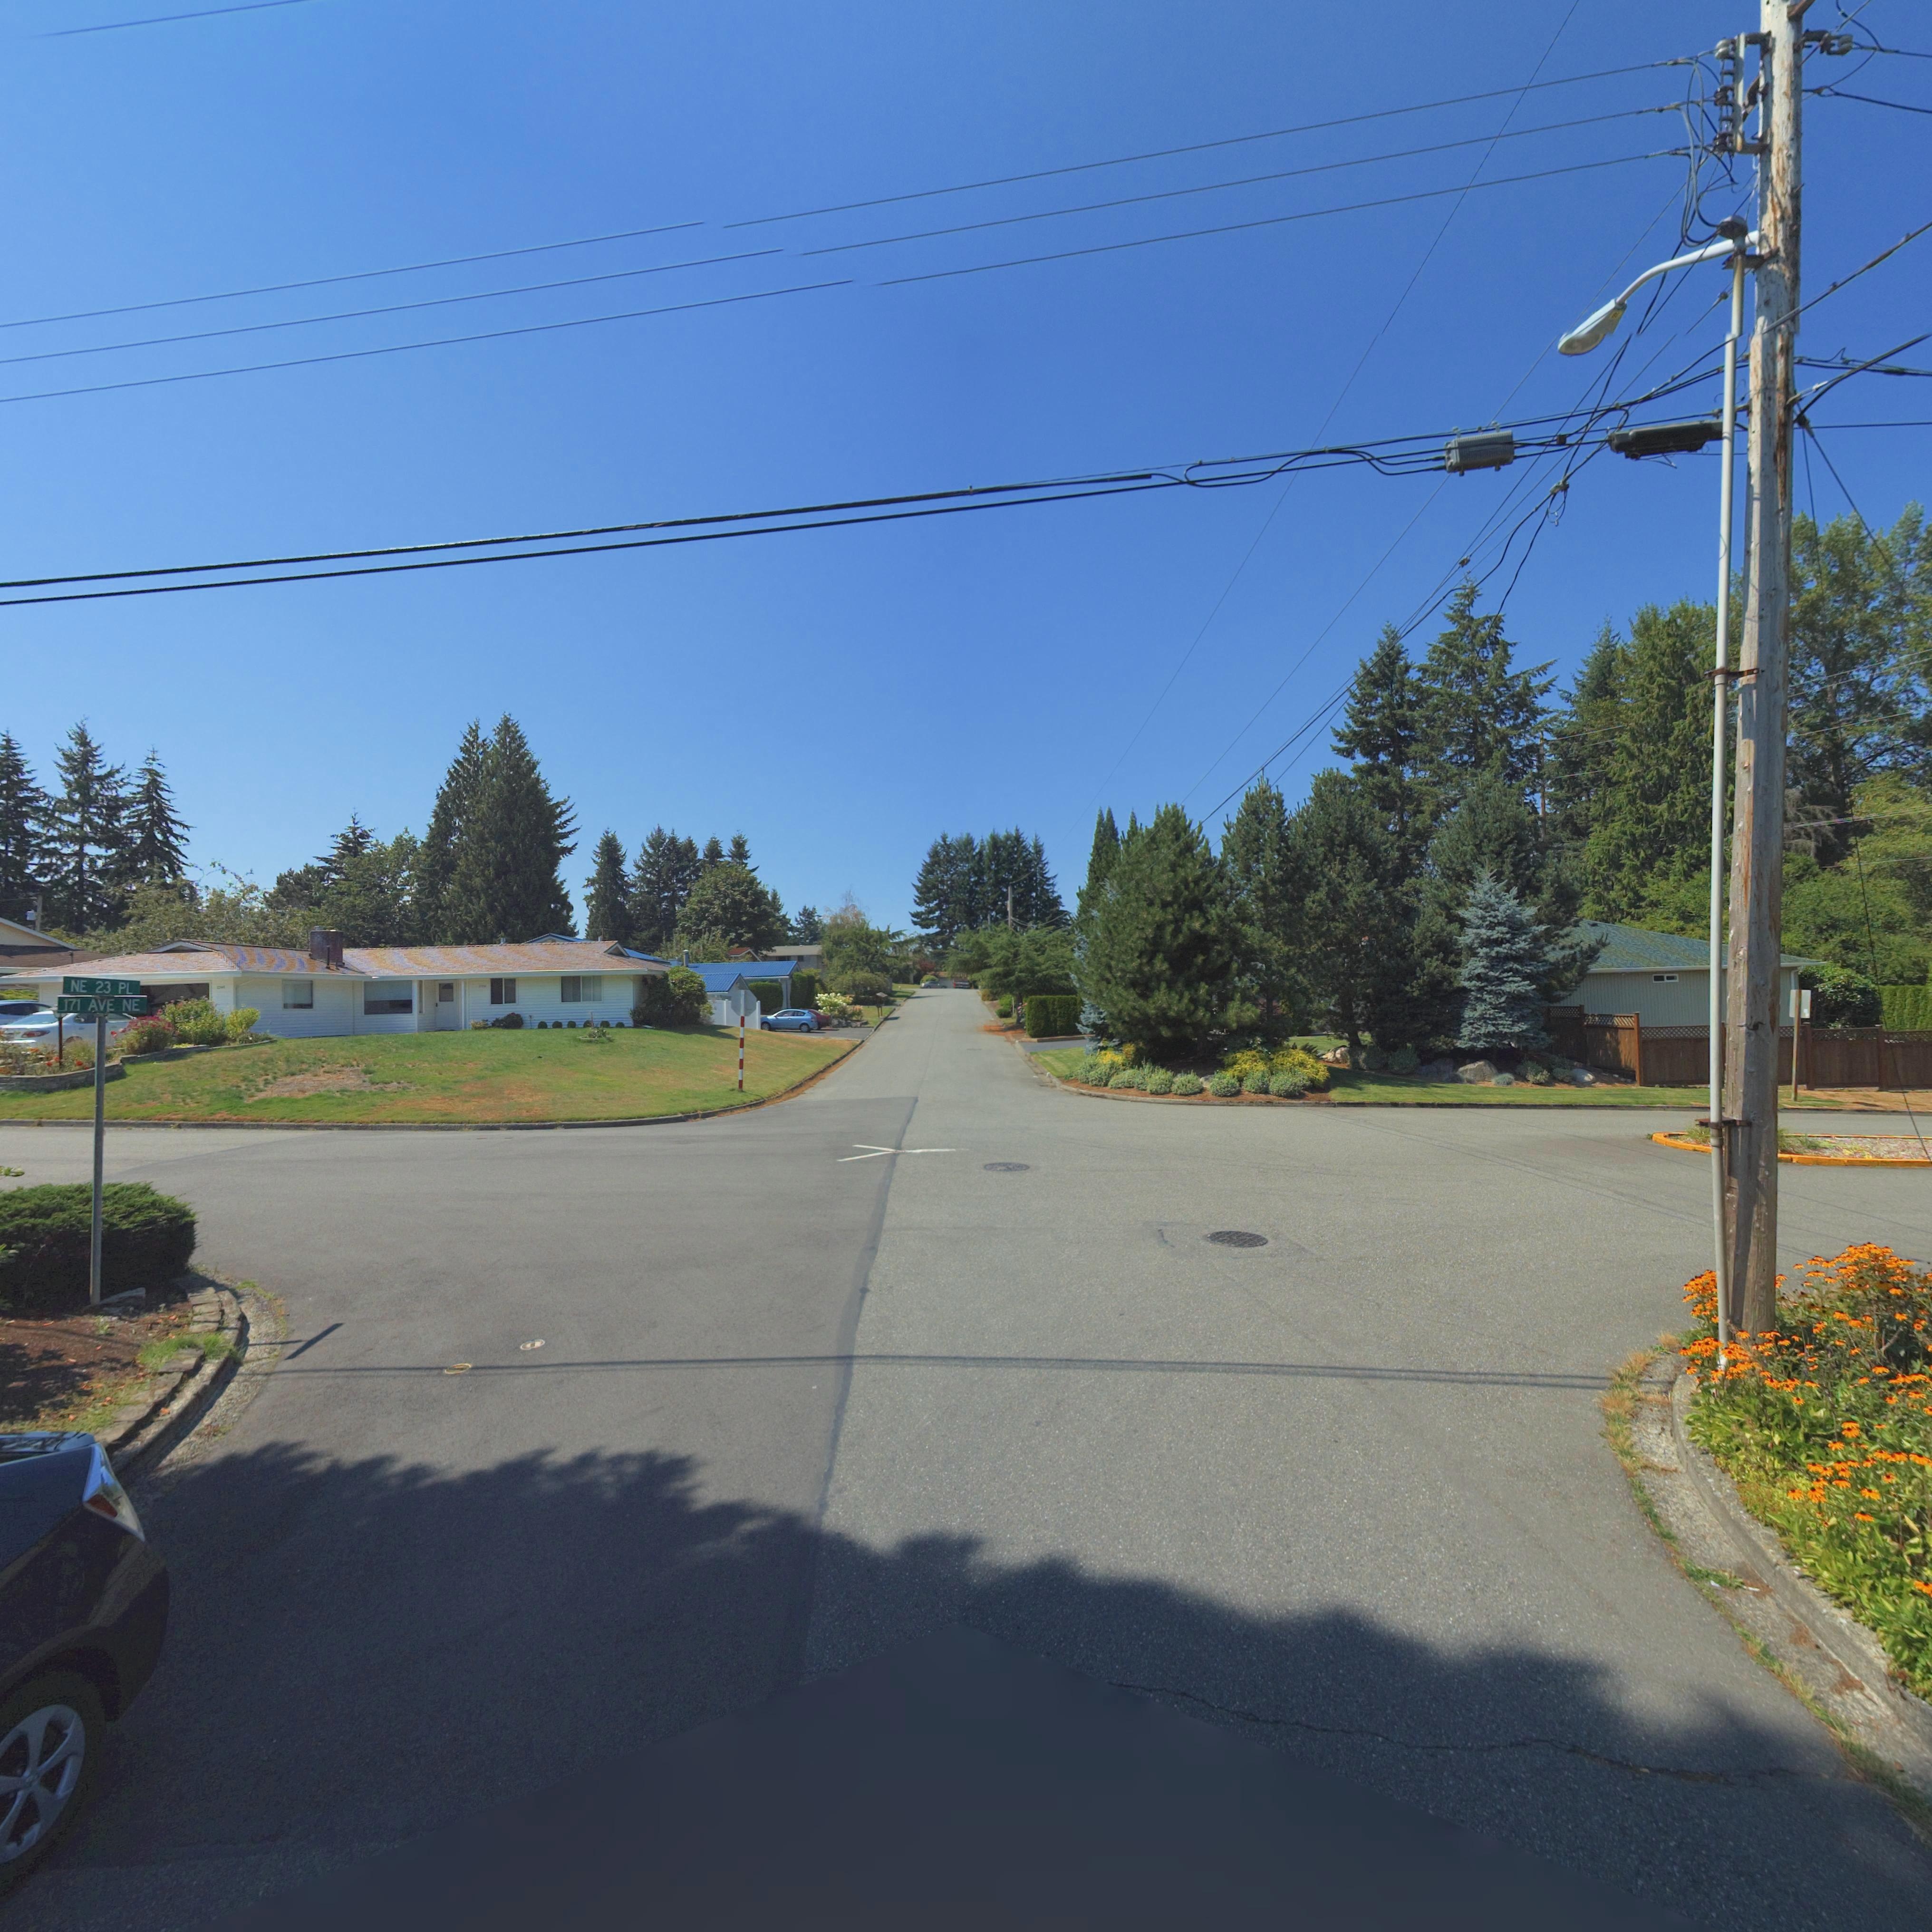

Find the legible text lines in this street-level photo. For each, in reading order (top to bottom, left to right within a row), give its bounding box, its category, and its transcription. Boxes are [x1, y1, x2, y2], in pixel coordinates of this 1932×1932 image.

[69, 978, 134, 995] StreetName: NE 23 PL
[61, 996, 141, 1012] StreetName: 171 AVE NE